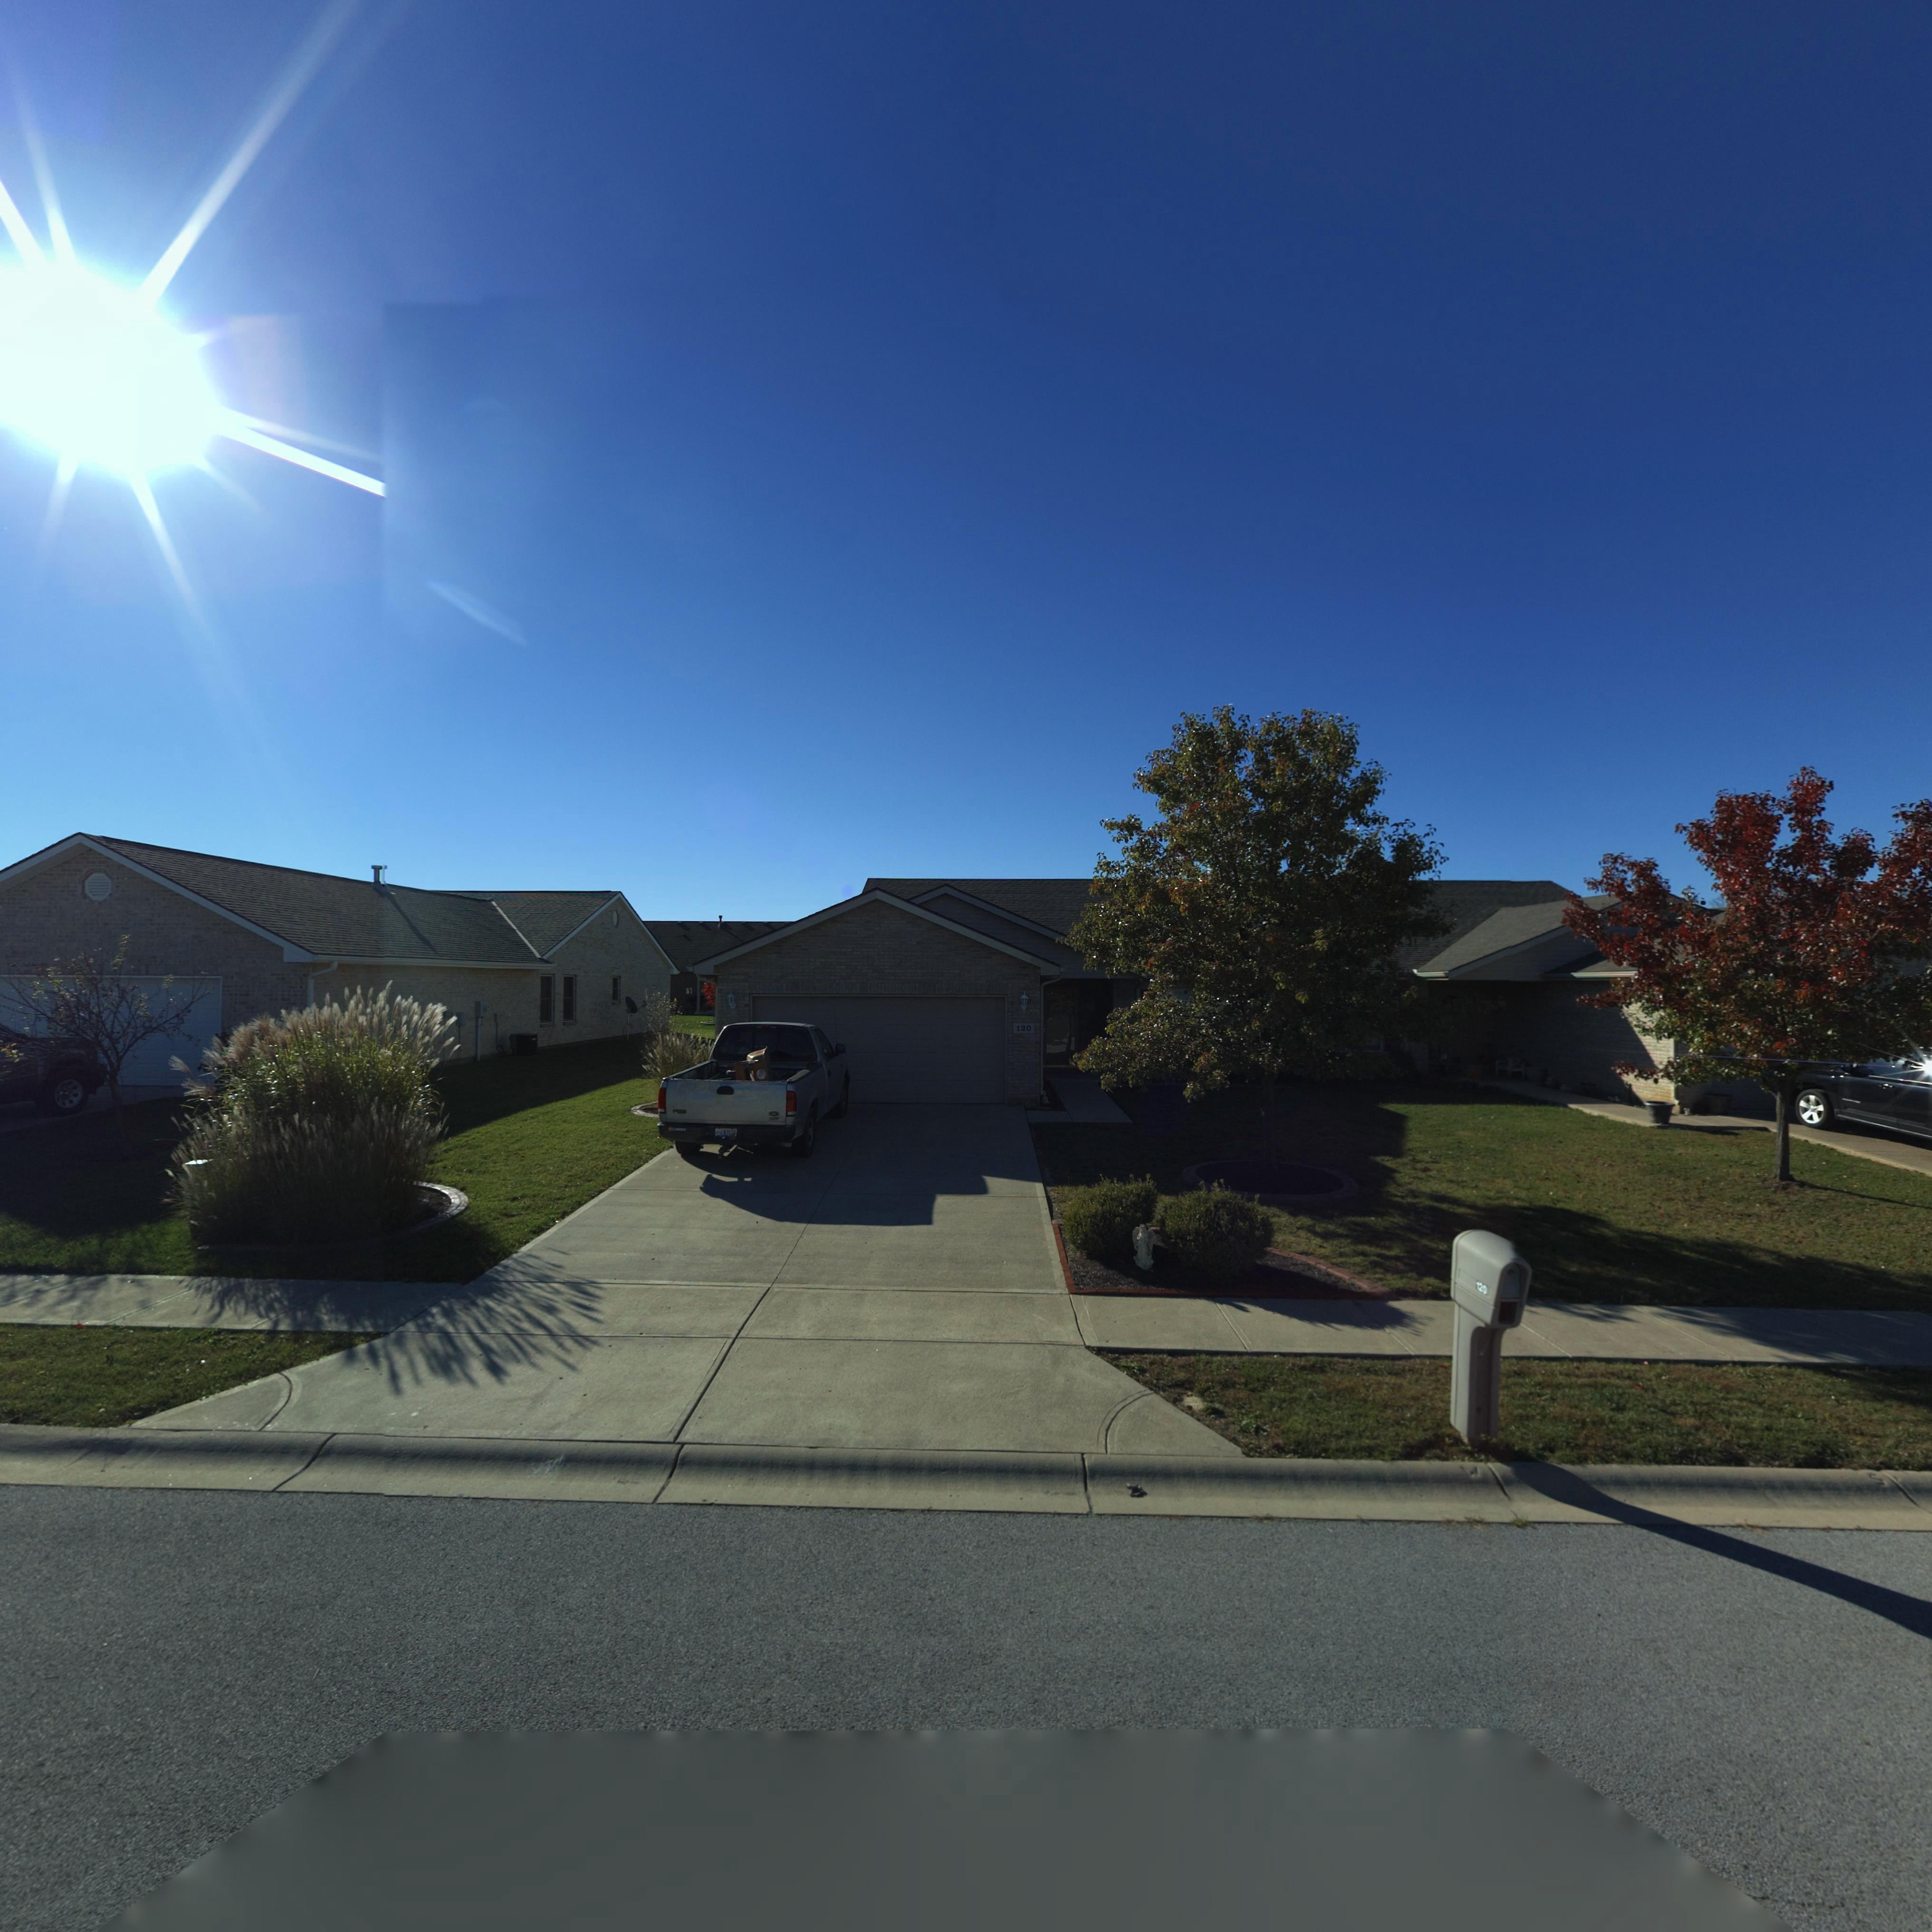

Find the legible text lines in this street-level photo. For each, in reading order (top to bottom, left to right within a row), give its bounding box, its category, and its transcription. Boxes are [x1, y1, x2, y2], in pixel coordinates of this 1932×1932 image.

[1015, 1024, 1032, 1032] StreetNumber: 120
[1476, 1280, 1488, 1295] StreetNumber: 120